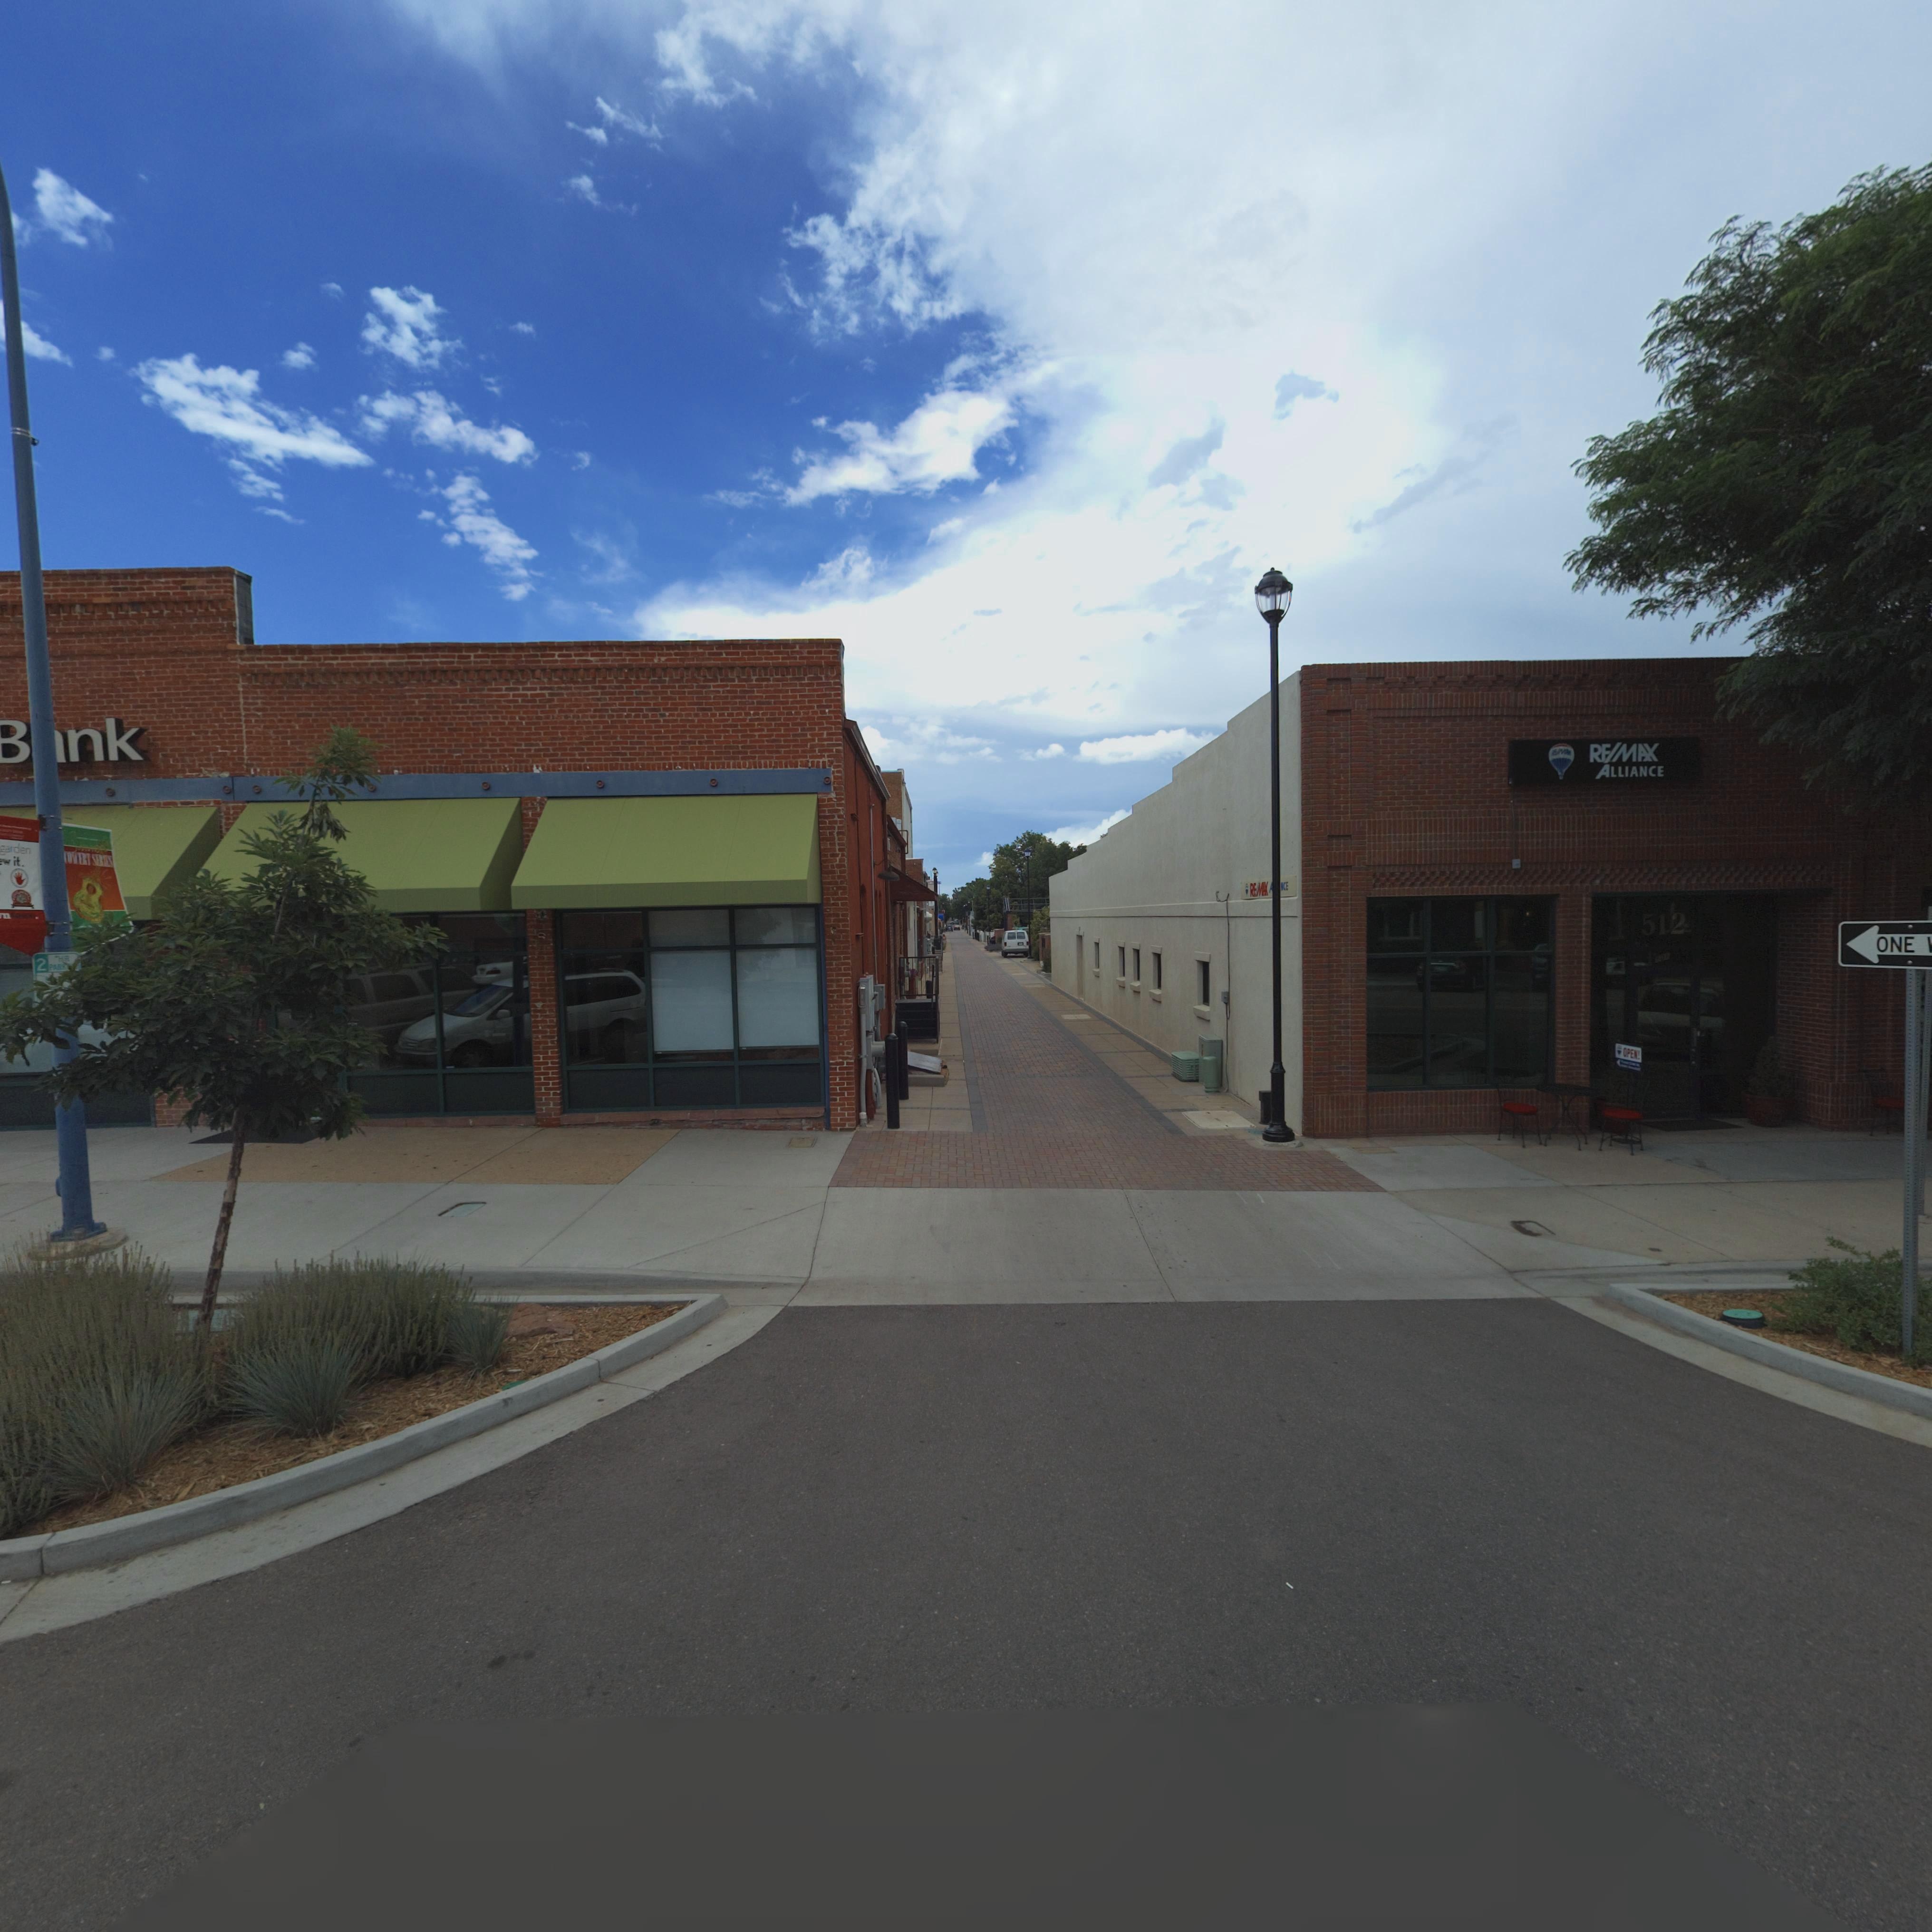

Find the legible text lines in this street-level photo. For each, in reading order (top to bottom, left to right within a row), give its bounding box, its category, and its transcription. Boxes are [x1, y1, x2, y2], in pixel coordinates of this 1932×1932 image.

[53, 718, 149, 762] BusinessName: *nk
[1589, 742, 1659, 763] BusinessName: RE/MAX
[1592, 764, 1664, 779] BusinessName: ALLIANCE
[1249, 881, 1269, 897] BusinessName: RE*MAX
[1269, 881, 1288, 893] BusinessName: A****NCE
[1641, 911, 1686, 937] StreetNumber: 512
[1656, 952, 1668, 962] StreetNumber: 101